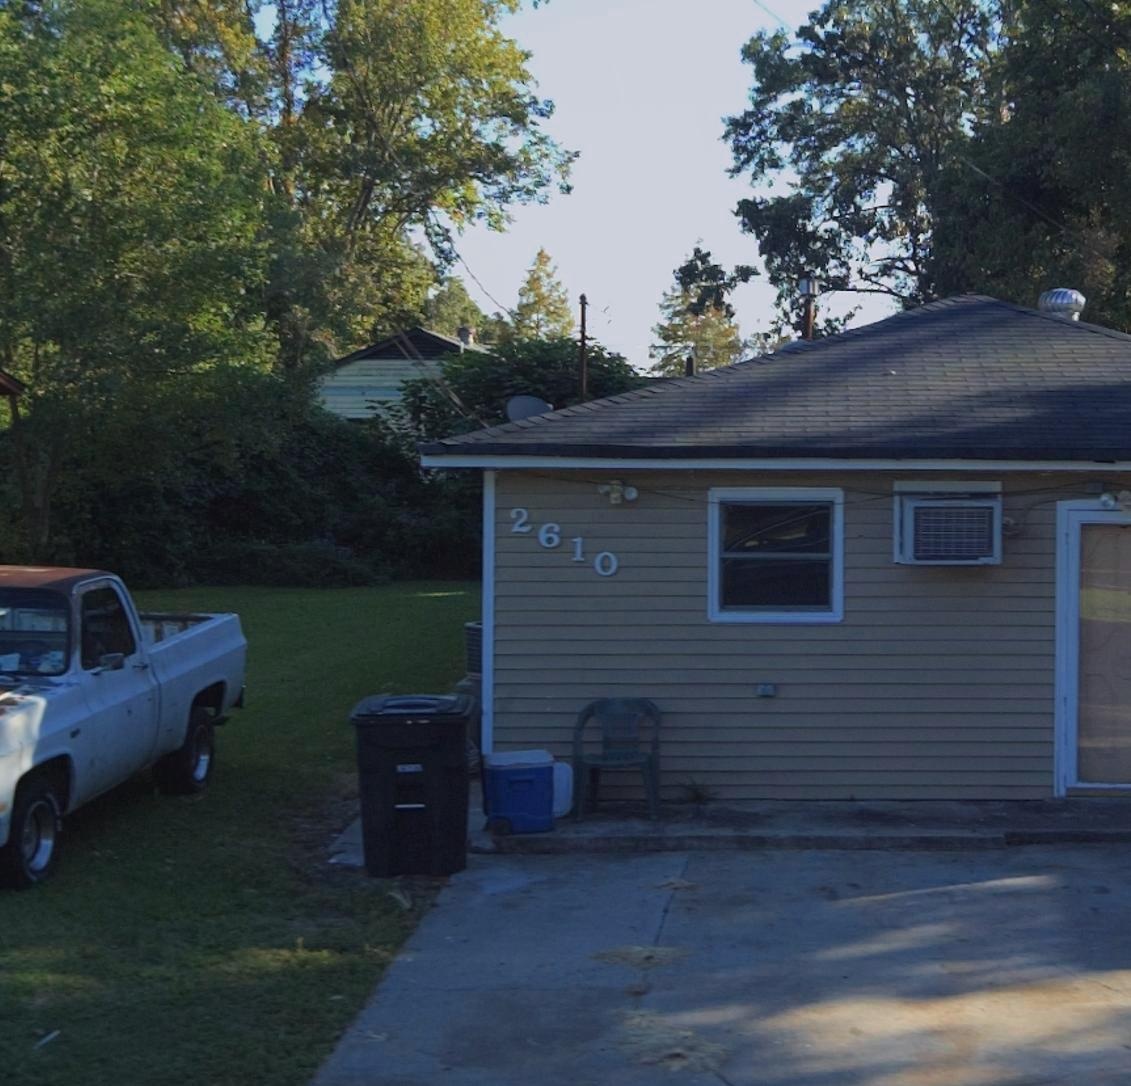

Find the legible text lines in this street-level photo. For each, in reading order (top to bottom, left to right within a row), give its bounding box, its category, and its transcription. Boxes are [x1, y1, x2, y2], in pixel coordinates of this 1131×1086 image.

[507, 505, 620, 579] StreetNumber: 2610